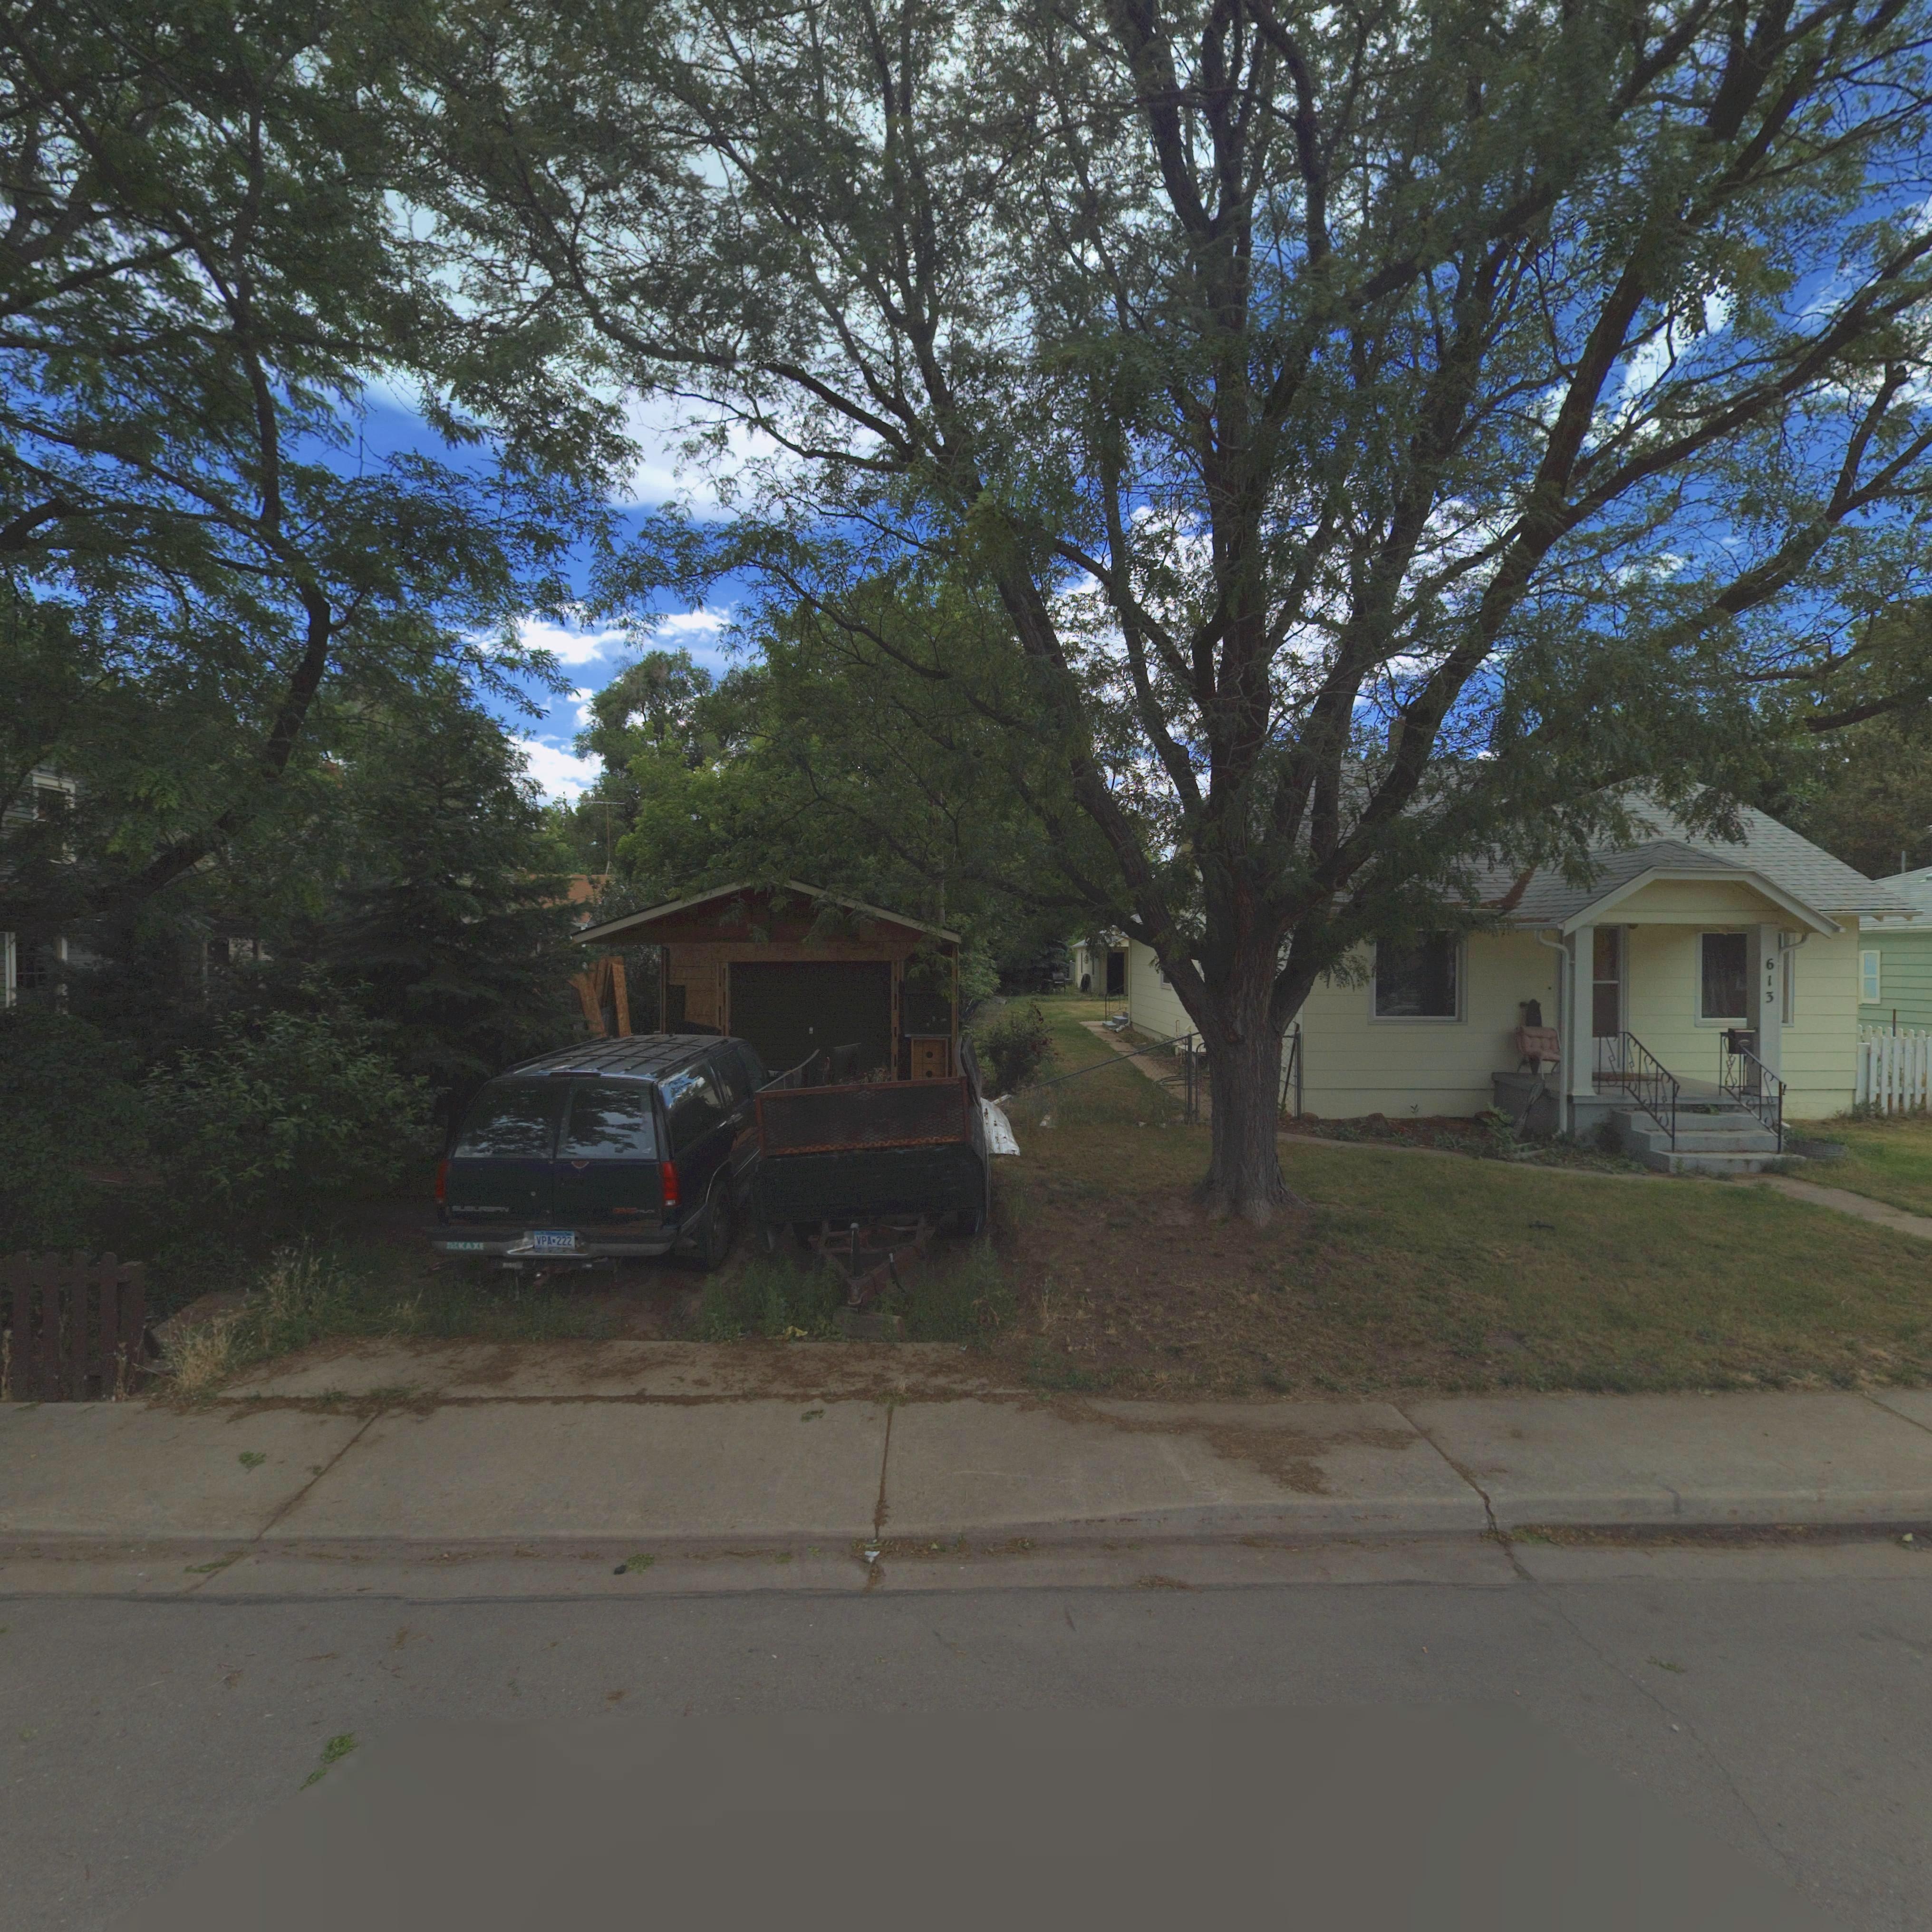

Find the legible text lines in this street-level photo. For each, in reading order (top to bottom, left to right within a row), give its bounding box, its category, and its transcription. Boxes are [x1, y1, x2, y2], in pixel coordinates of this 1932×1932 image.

[1765, 957, 1775, 1004] StreetNumber: 613